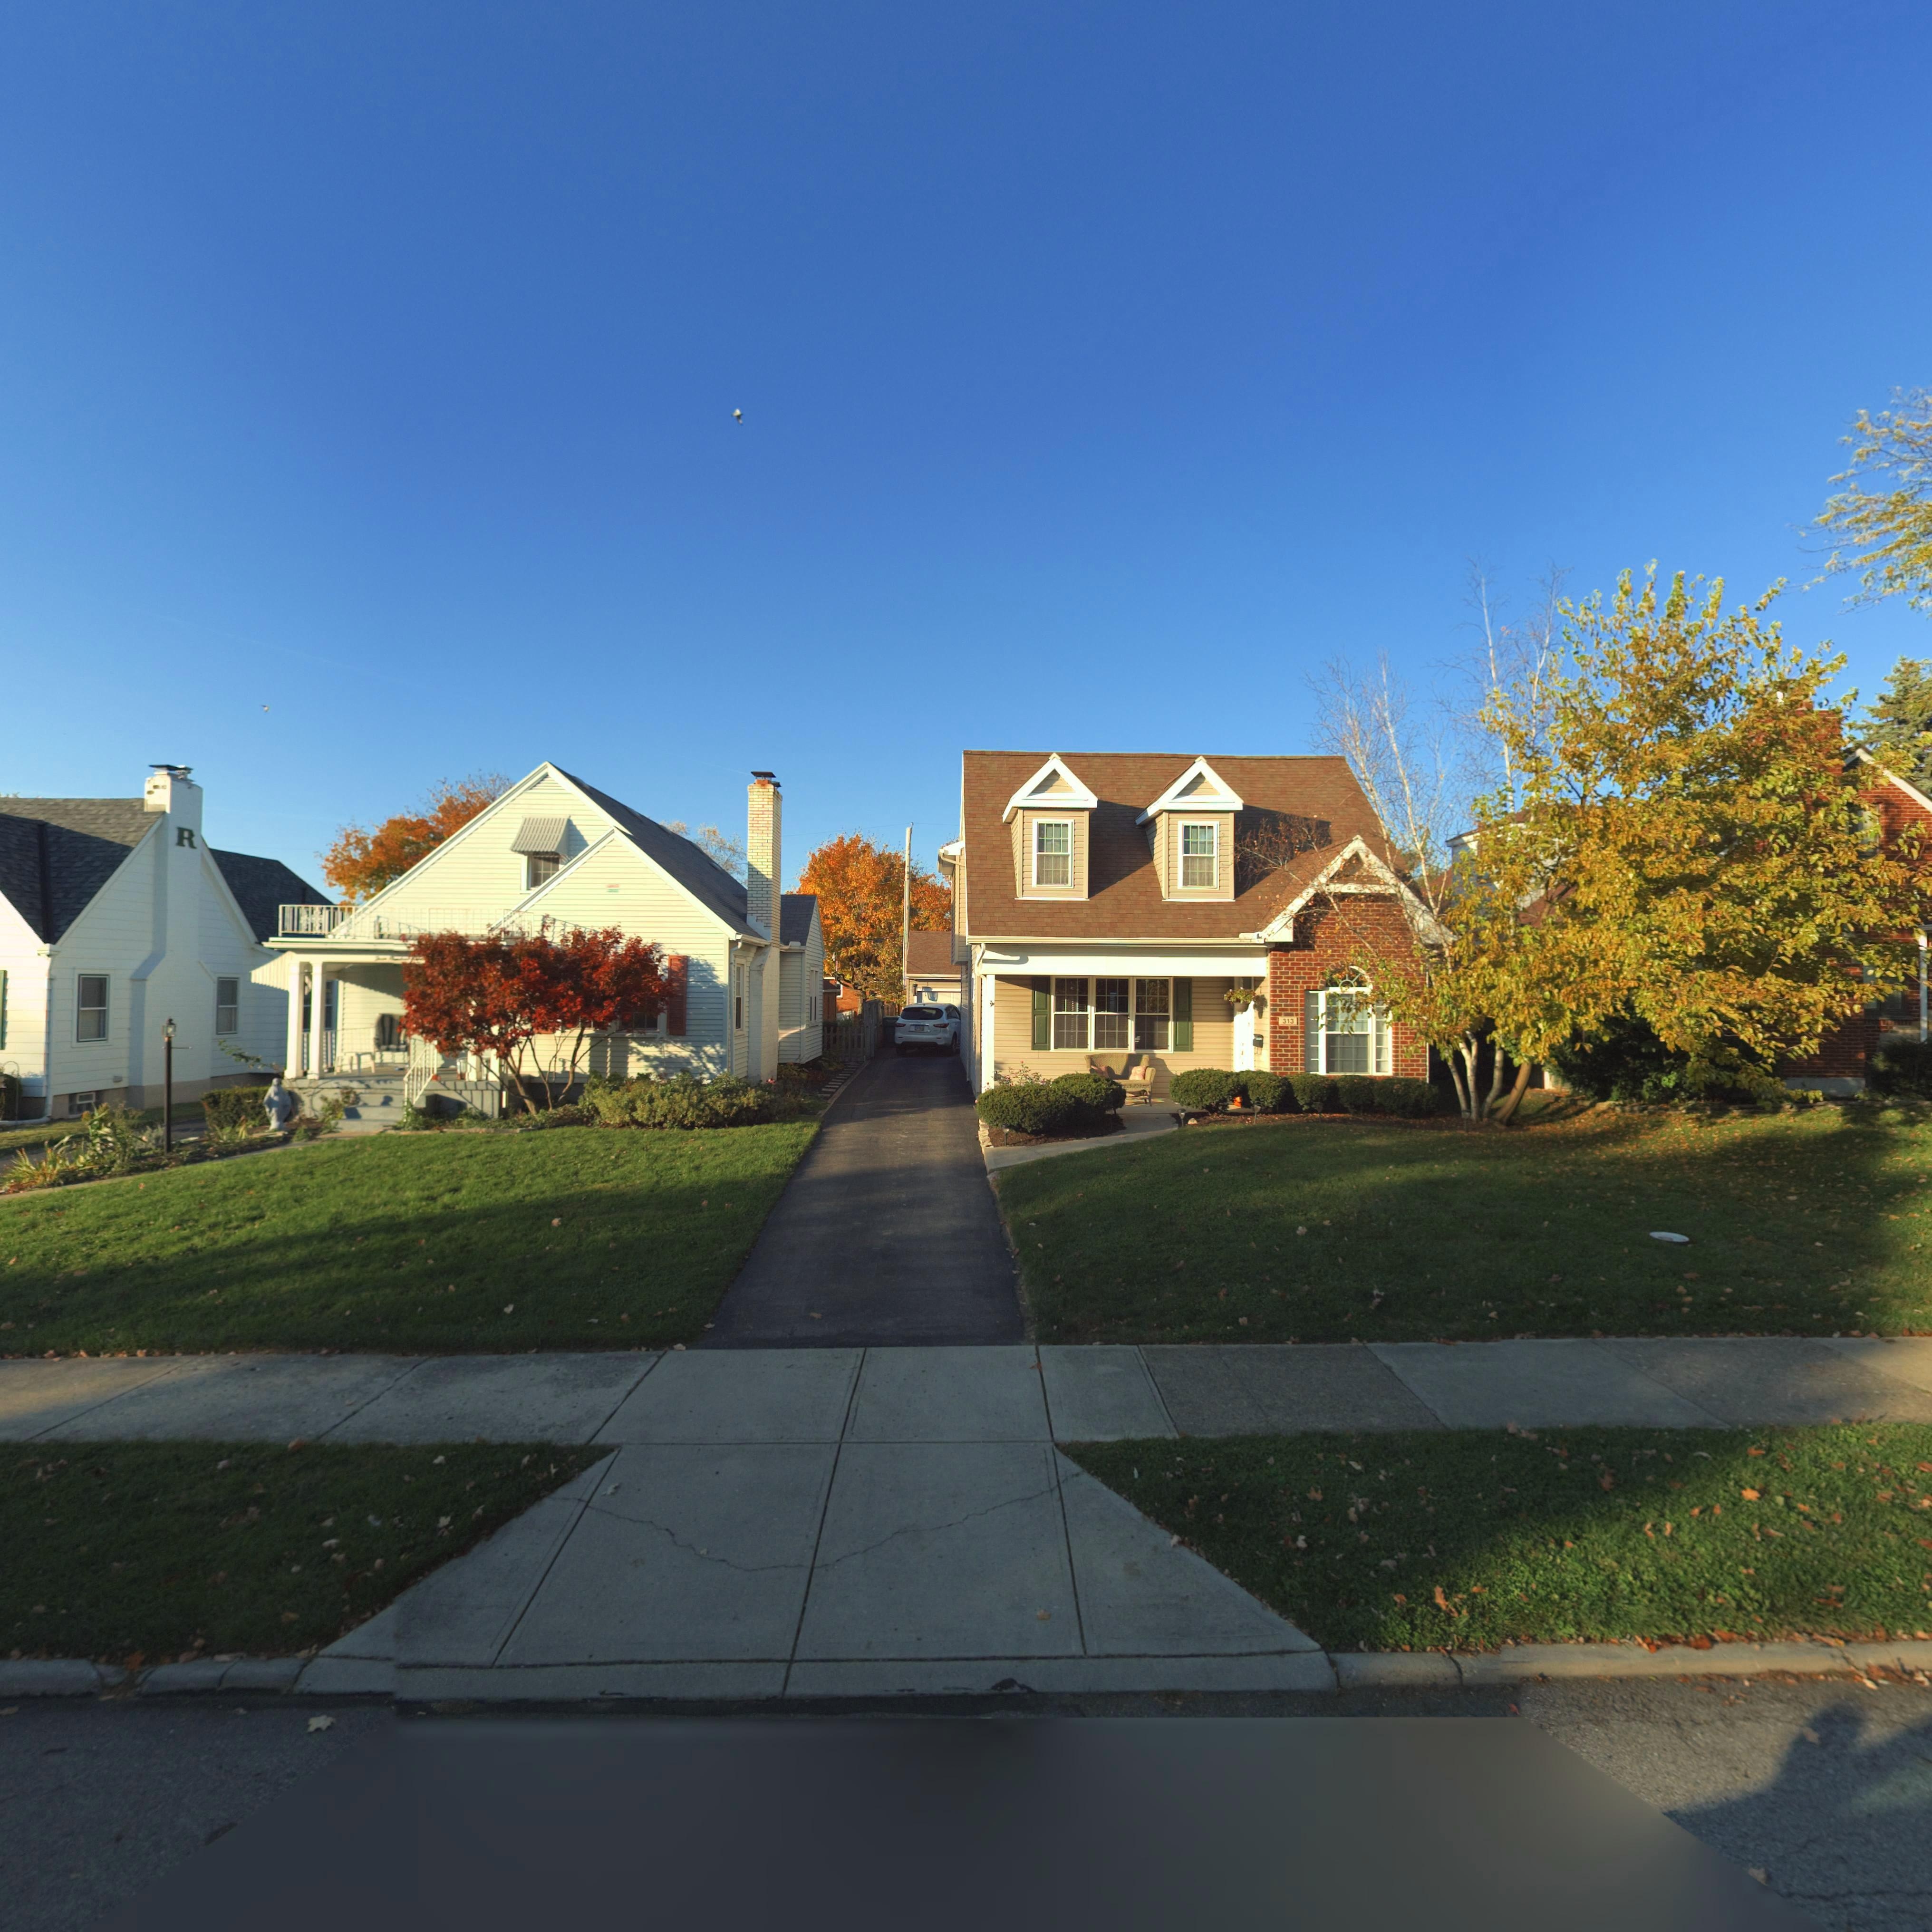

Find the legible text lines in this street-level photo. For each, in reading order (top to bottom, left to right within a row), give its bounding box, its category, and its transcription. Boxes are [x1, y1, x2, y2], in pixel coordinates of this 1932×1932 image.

[1282, 1018, 1294, 1024] StreetNumber: 313